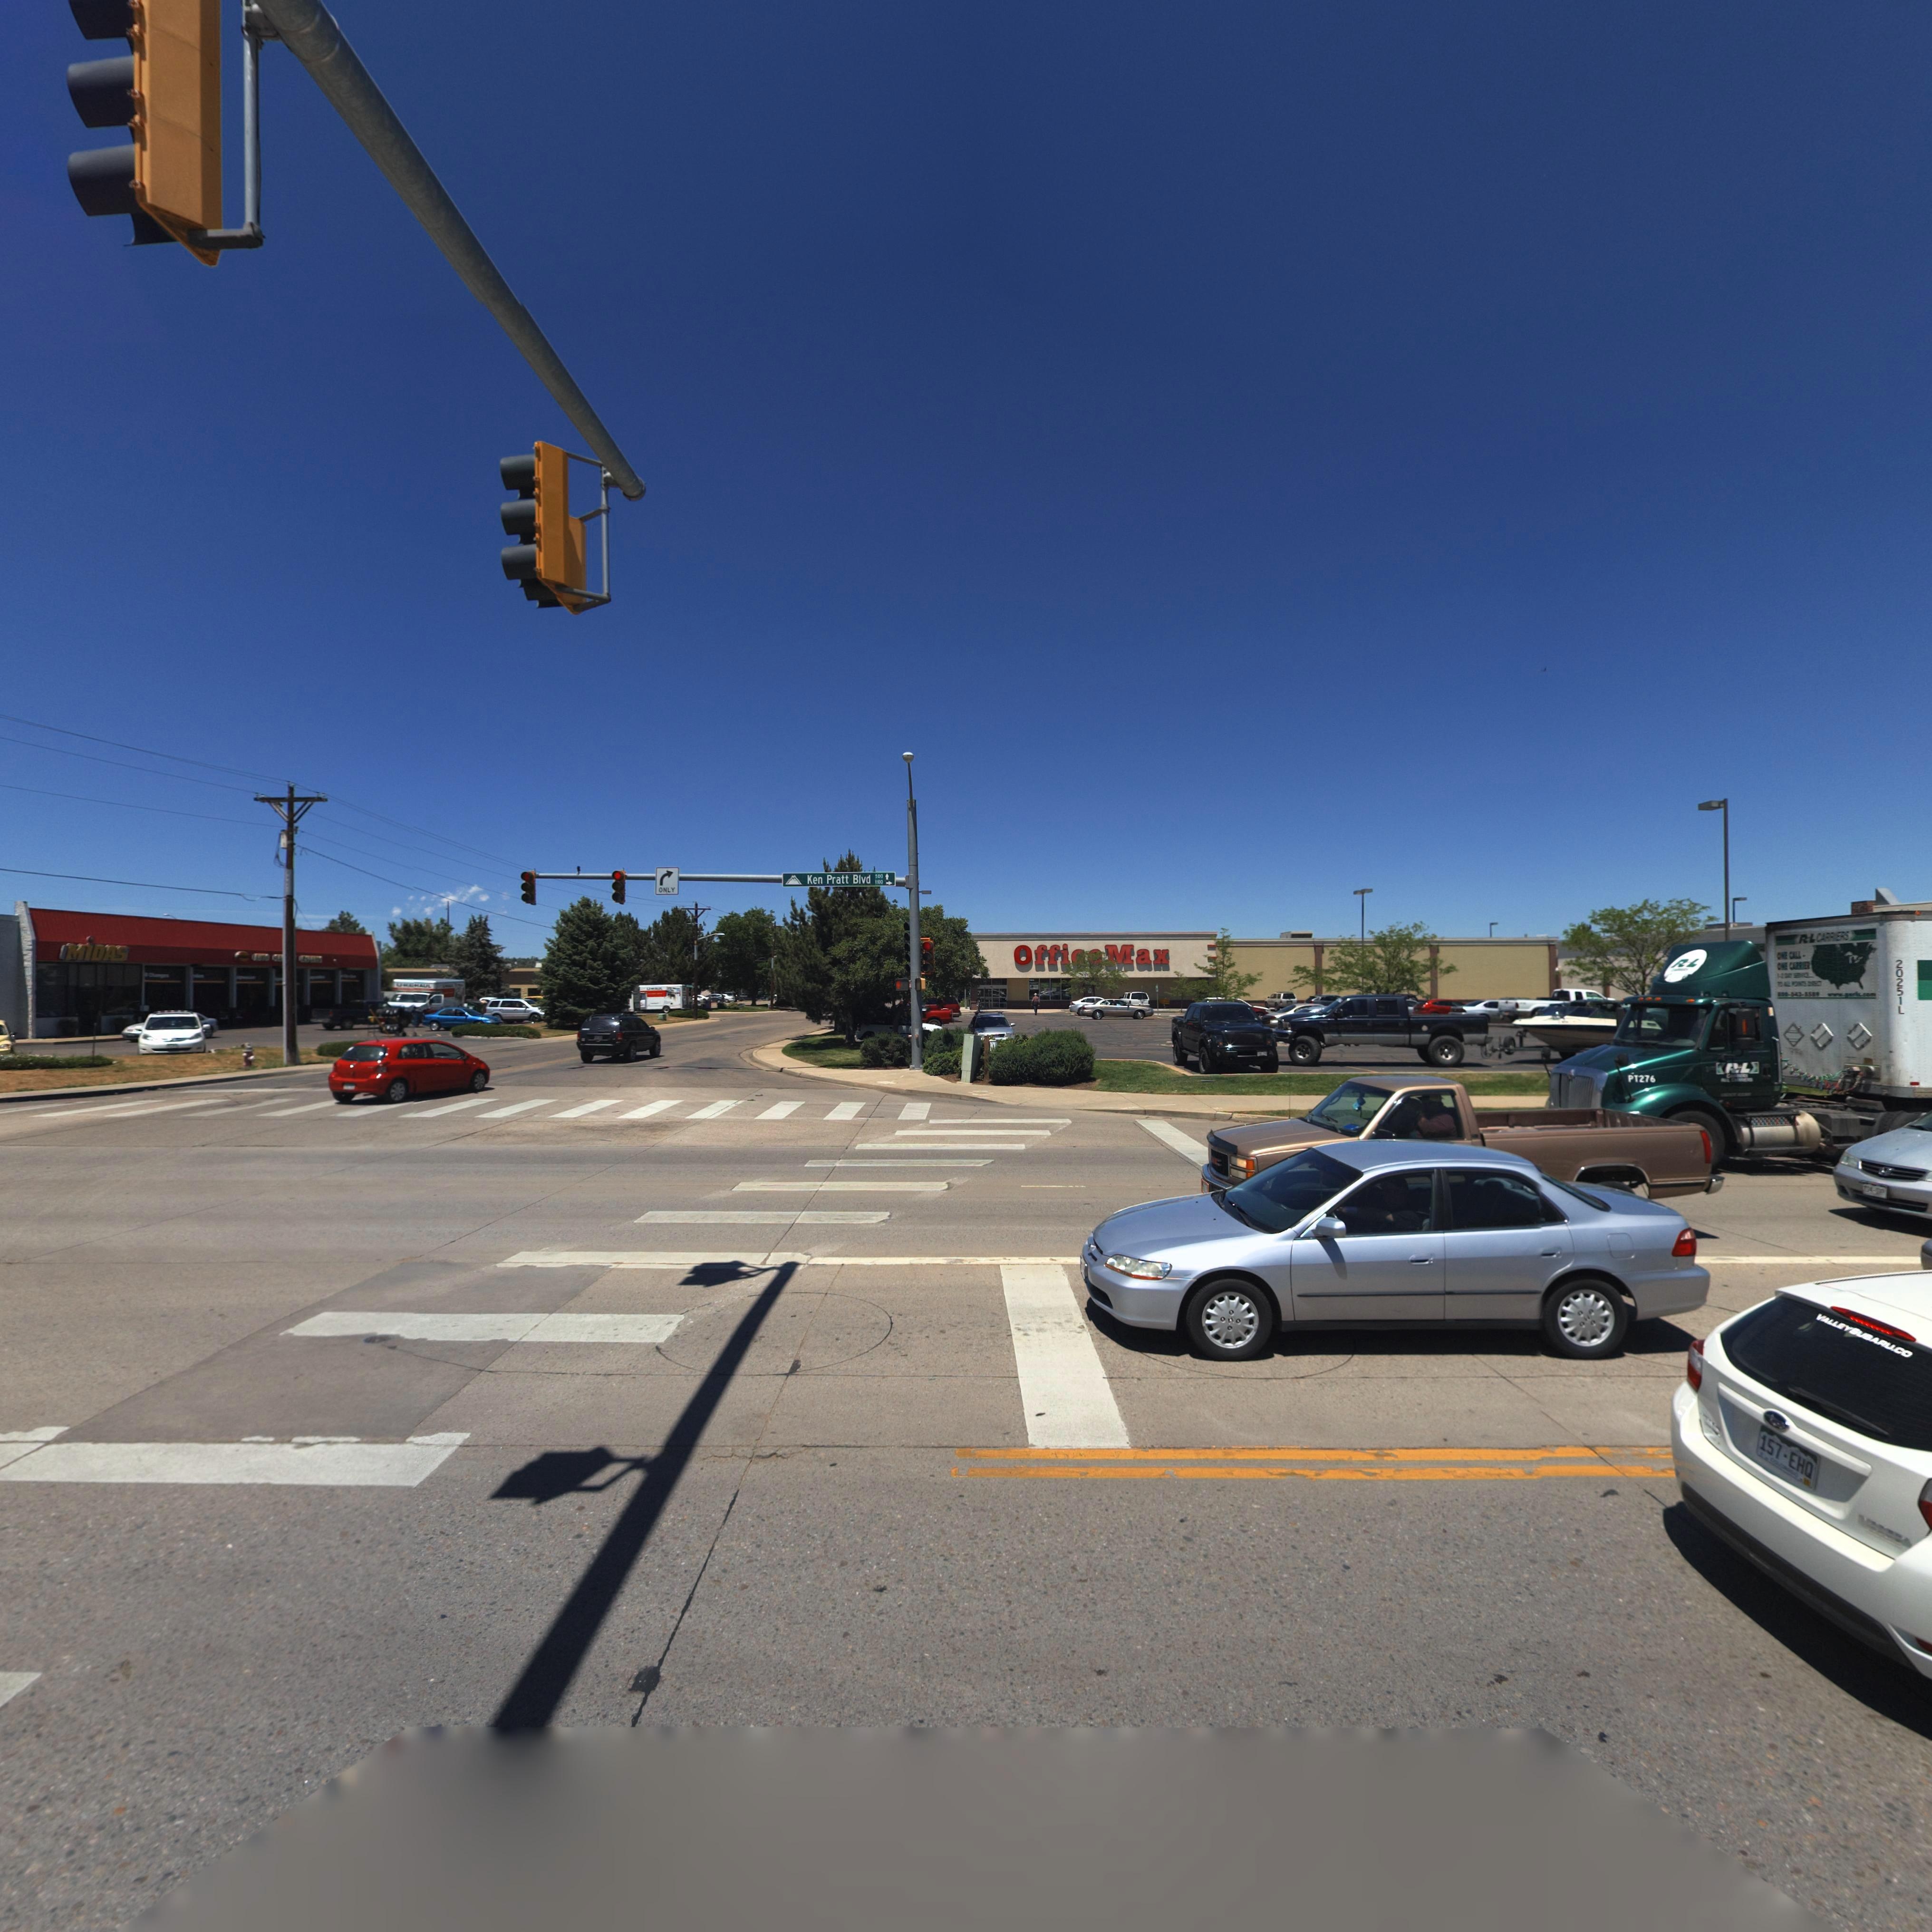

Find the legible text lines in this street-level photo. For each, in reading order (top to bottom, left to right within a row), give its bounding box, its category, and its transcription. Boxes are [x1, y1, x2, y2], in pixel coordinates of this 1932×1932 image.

[807, 874, 871, 884] StreetName: Ken Pratt Blvd
[875, 873, 883, 878] StreetNumberRange: 500
[874, 879, 892, 885] StreetNumberRange: 1100->
[64, 934, 128, 962] BusinessName: MiDAS
[1013, 943, 1169, 966] BusinessName: Offi** Max